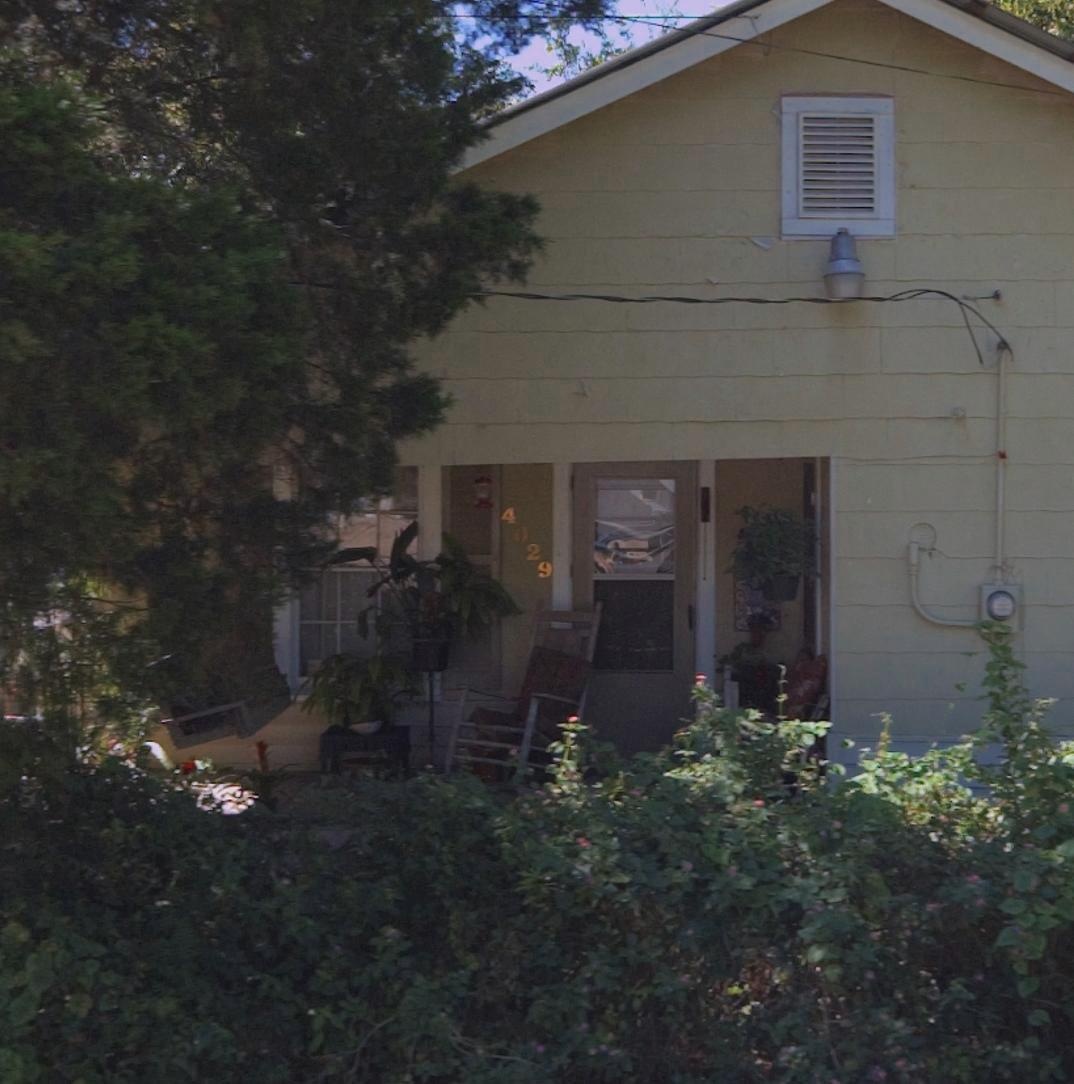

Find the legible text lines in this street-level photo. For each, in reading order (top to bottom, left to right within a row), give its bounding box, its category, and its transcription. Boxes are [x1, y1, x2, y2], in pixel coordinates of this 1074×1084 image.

[498, 505, 554, 580] StreetNumber: 4029